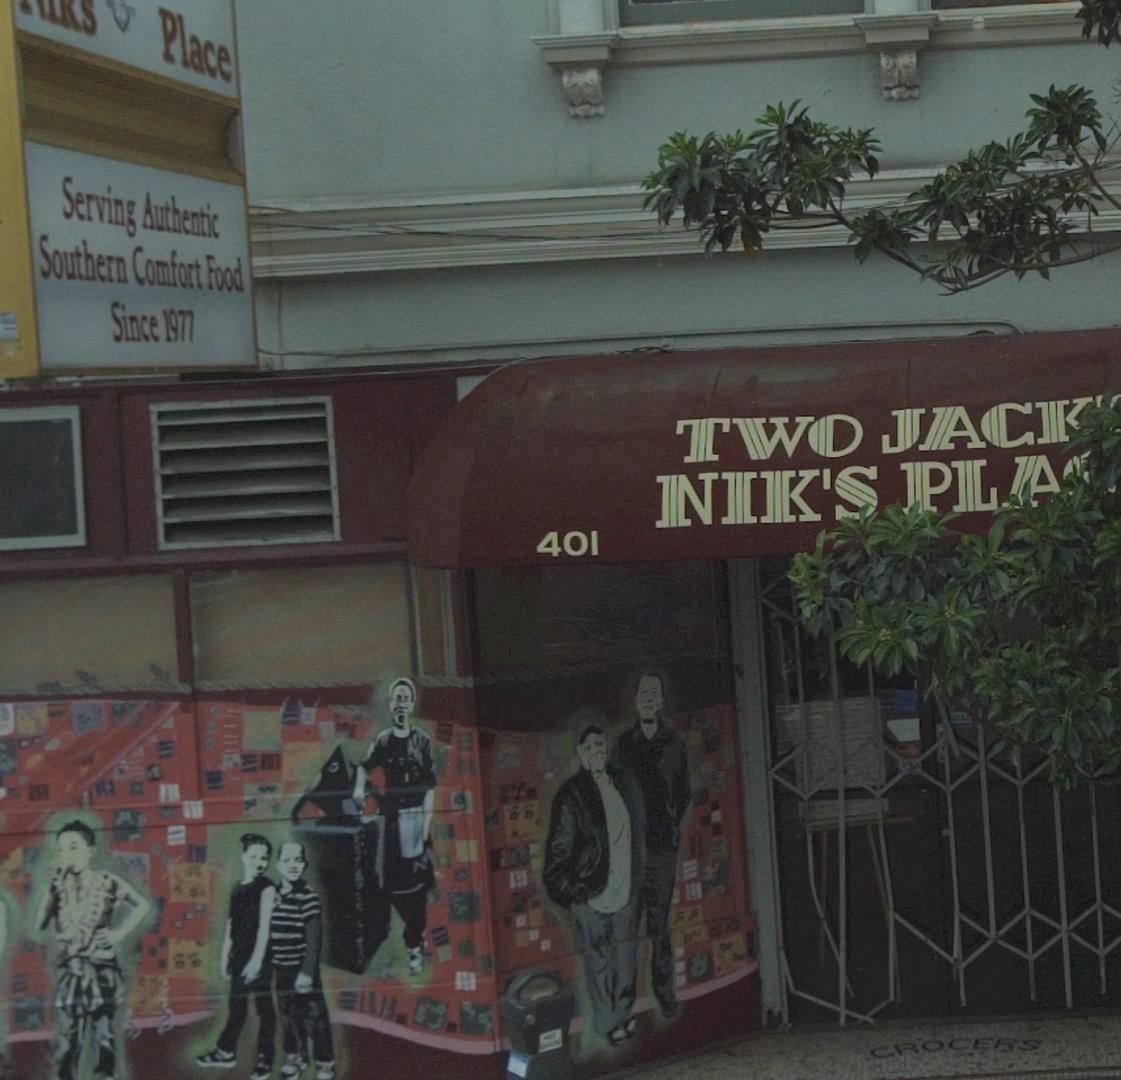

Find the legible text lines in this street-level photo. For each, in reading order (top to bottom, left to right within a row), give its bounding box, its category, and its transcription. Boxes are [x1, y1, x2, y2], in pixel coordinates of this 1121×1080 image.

[154, 1, 237, 93] BusinessName: Place
[57, 170, 222, 242] None: Serving Authentic
[34, 229, 248, 296] None: Southern Comfort Food
[106, 297, 198, 347] None: Since 1977
[668, 396, 1041, 468] BusinessName: TWO JAC
[650, 453, 1004, 534] BusinessName: NIK'S PL
[533, 528, 601, 560] StreetNumber: 401
[864, 1034, 1047, 1062] None: CROCERS